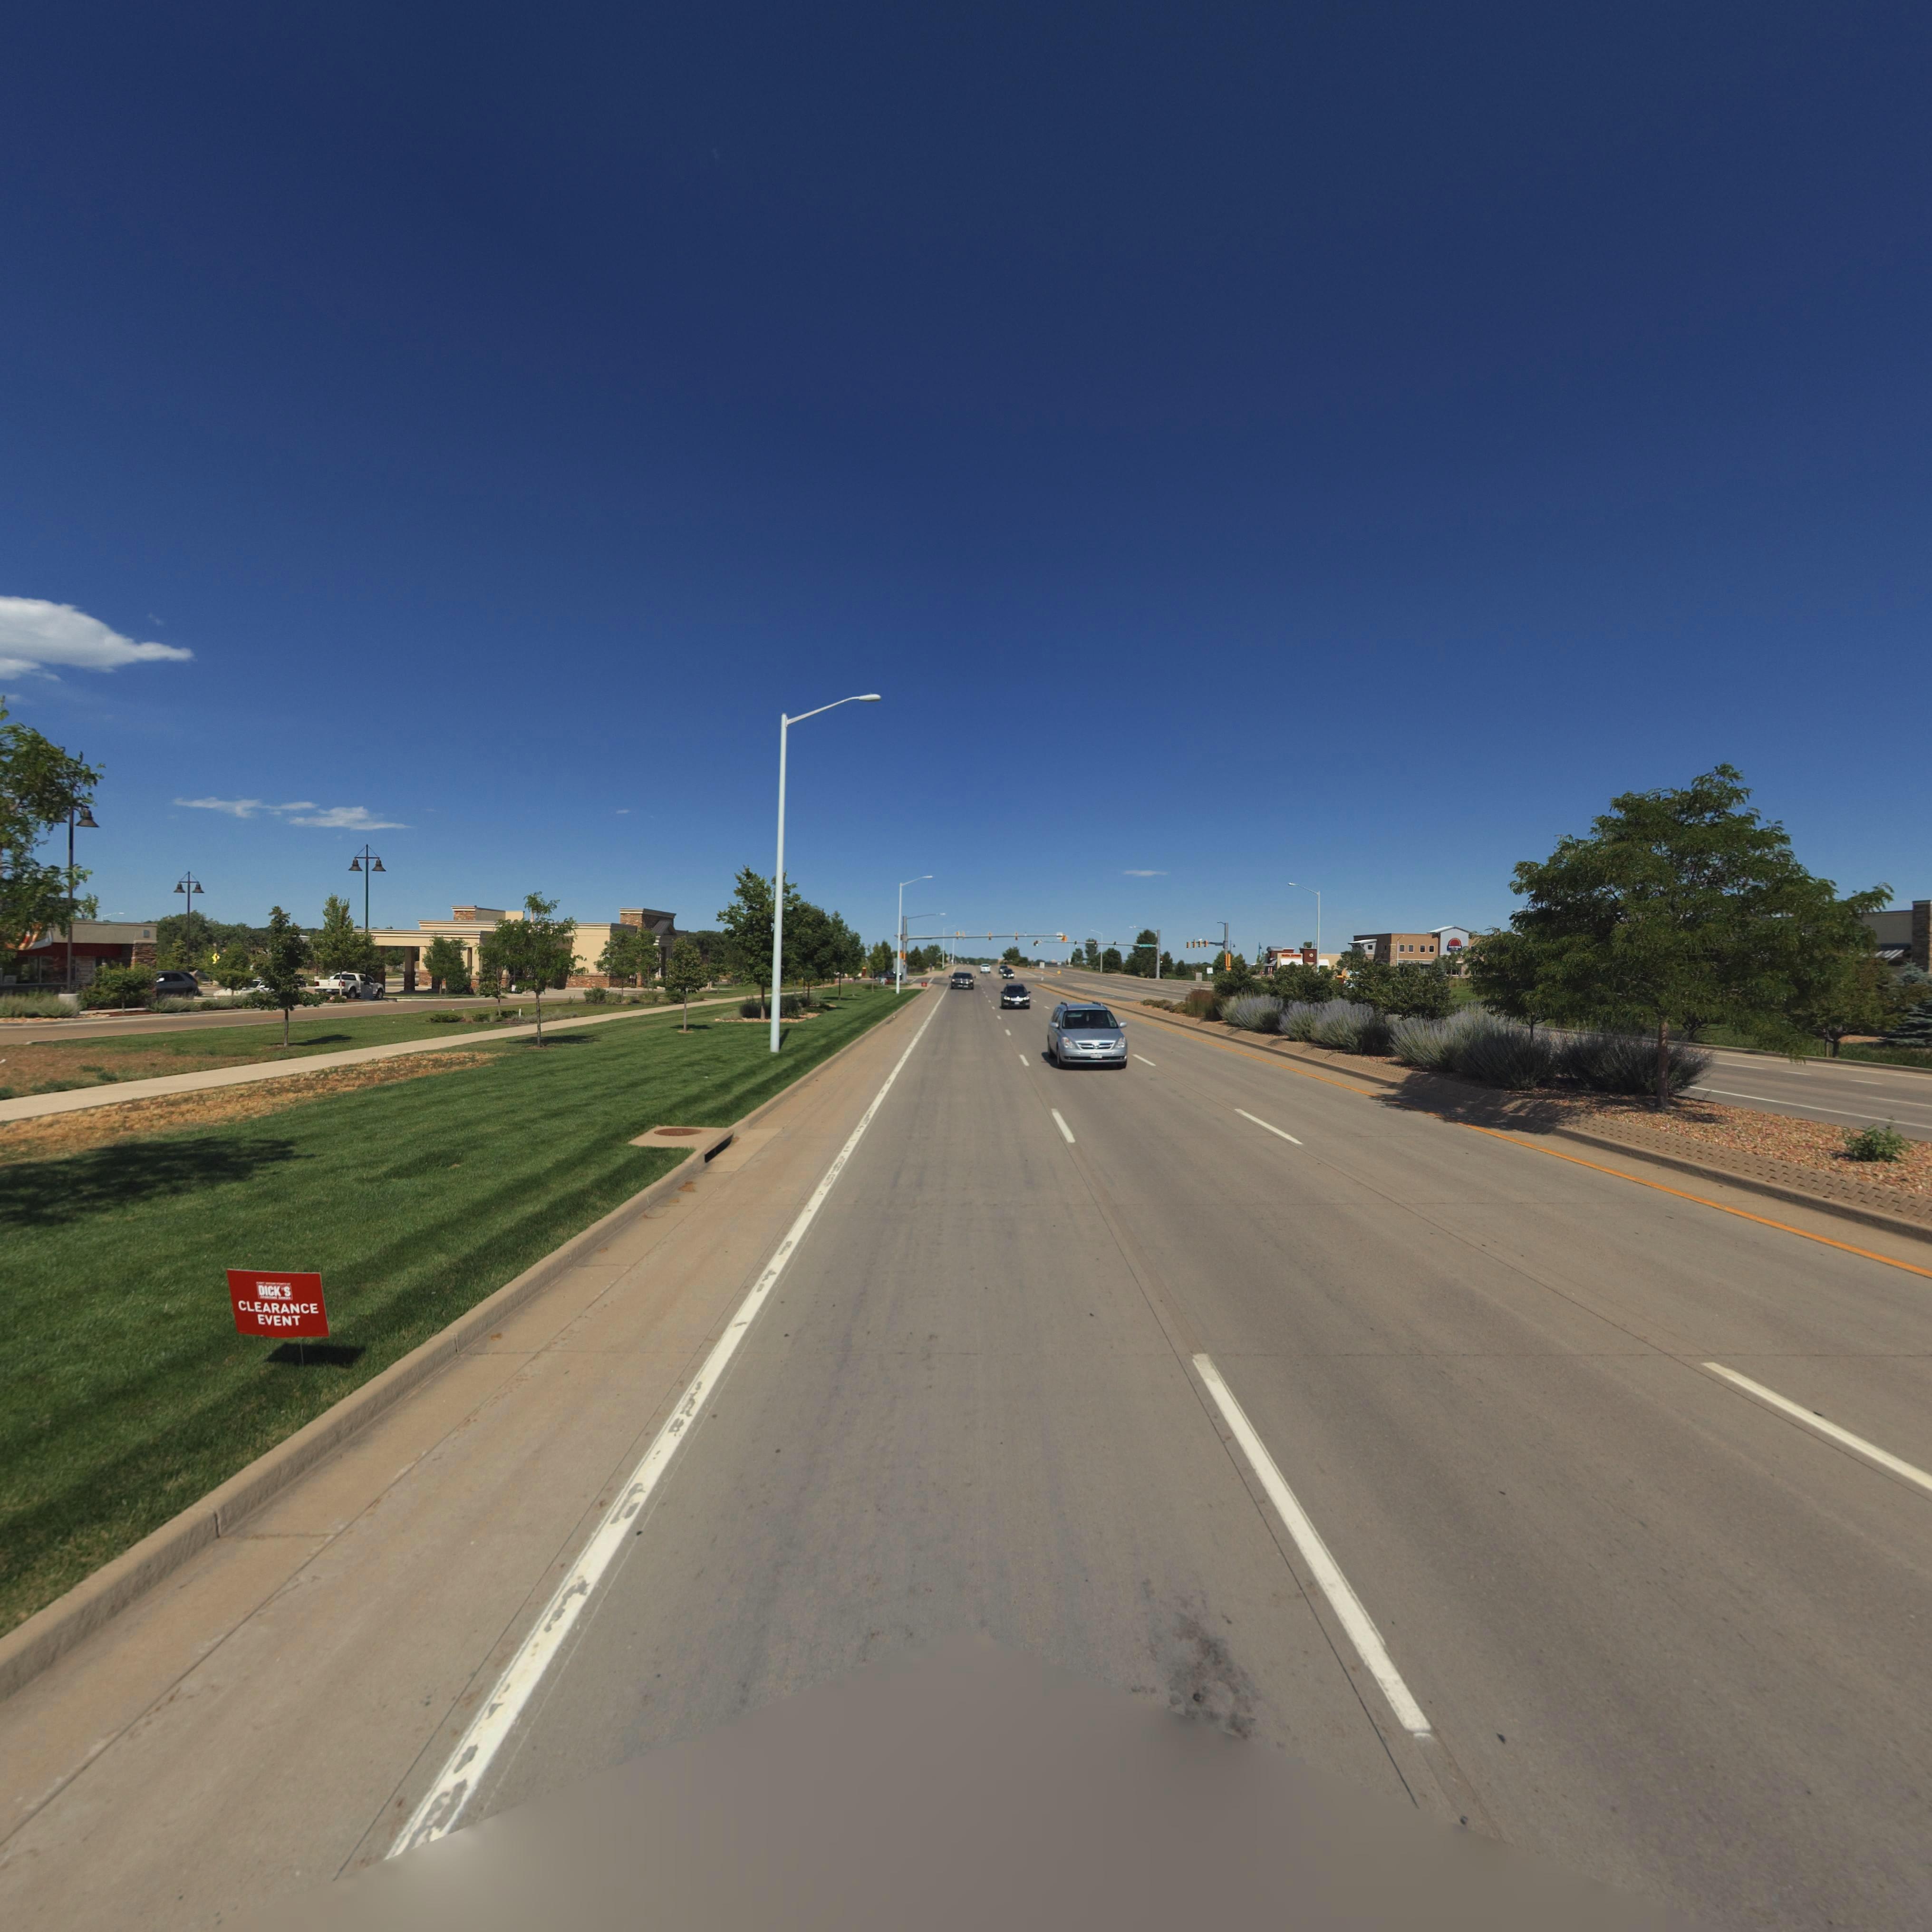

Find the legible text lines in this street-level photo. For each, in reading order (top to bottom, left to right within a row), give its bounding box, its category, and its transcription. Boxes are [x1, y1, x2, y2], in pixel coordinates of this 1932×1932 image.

[257, 1285, 290, 1296] BusinessName: DICK*S